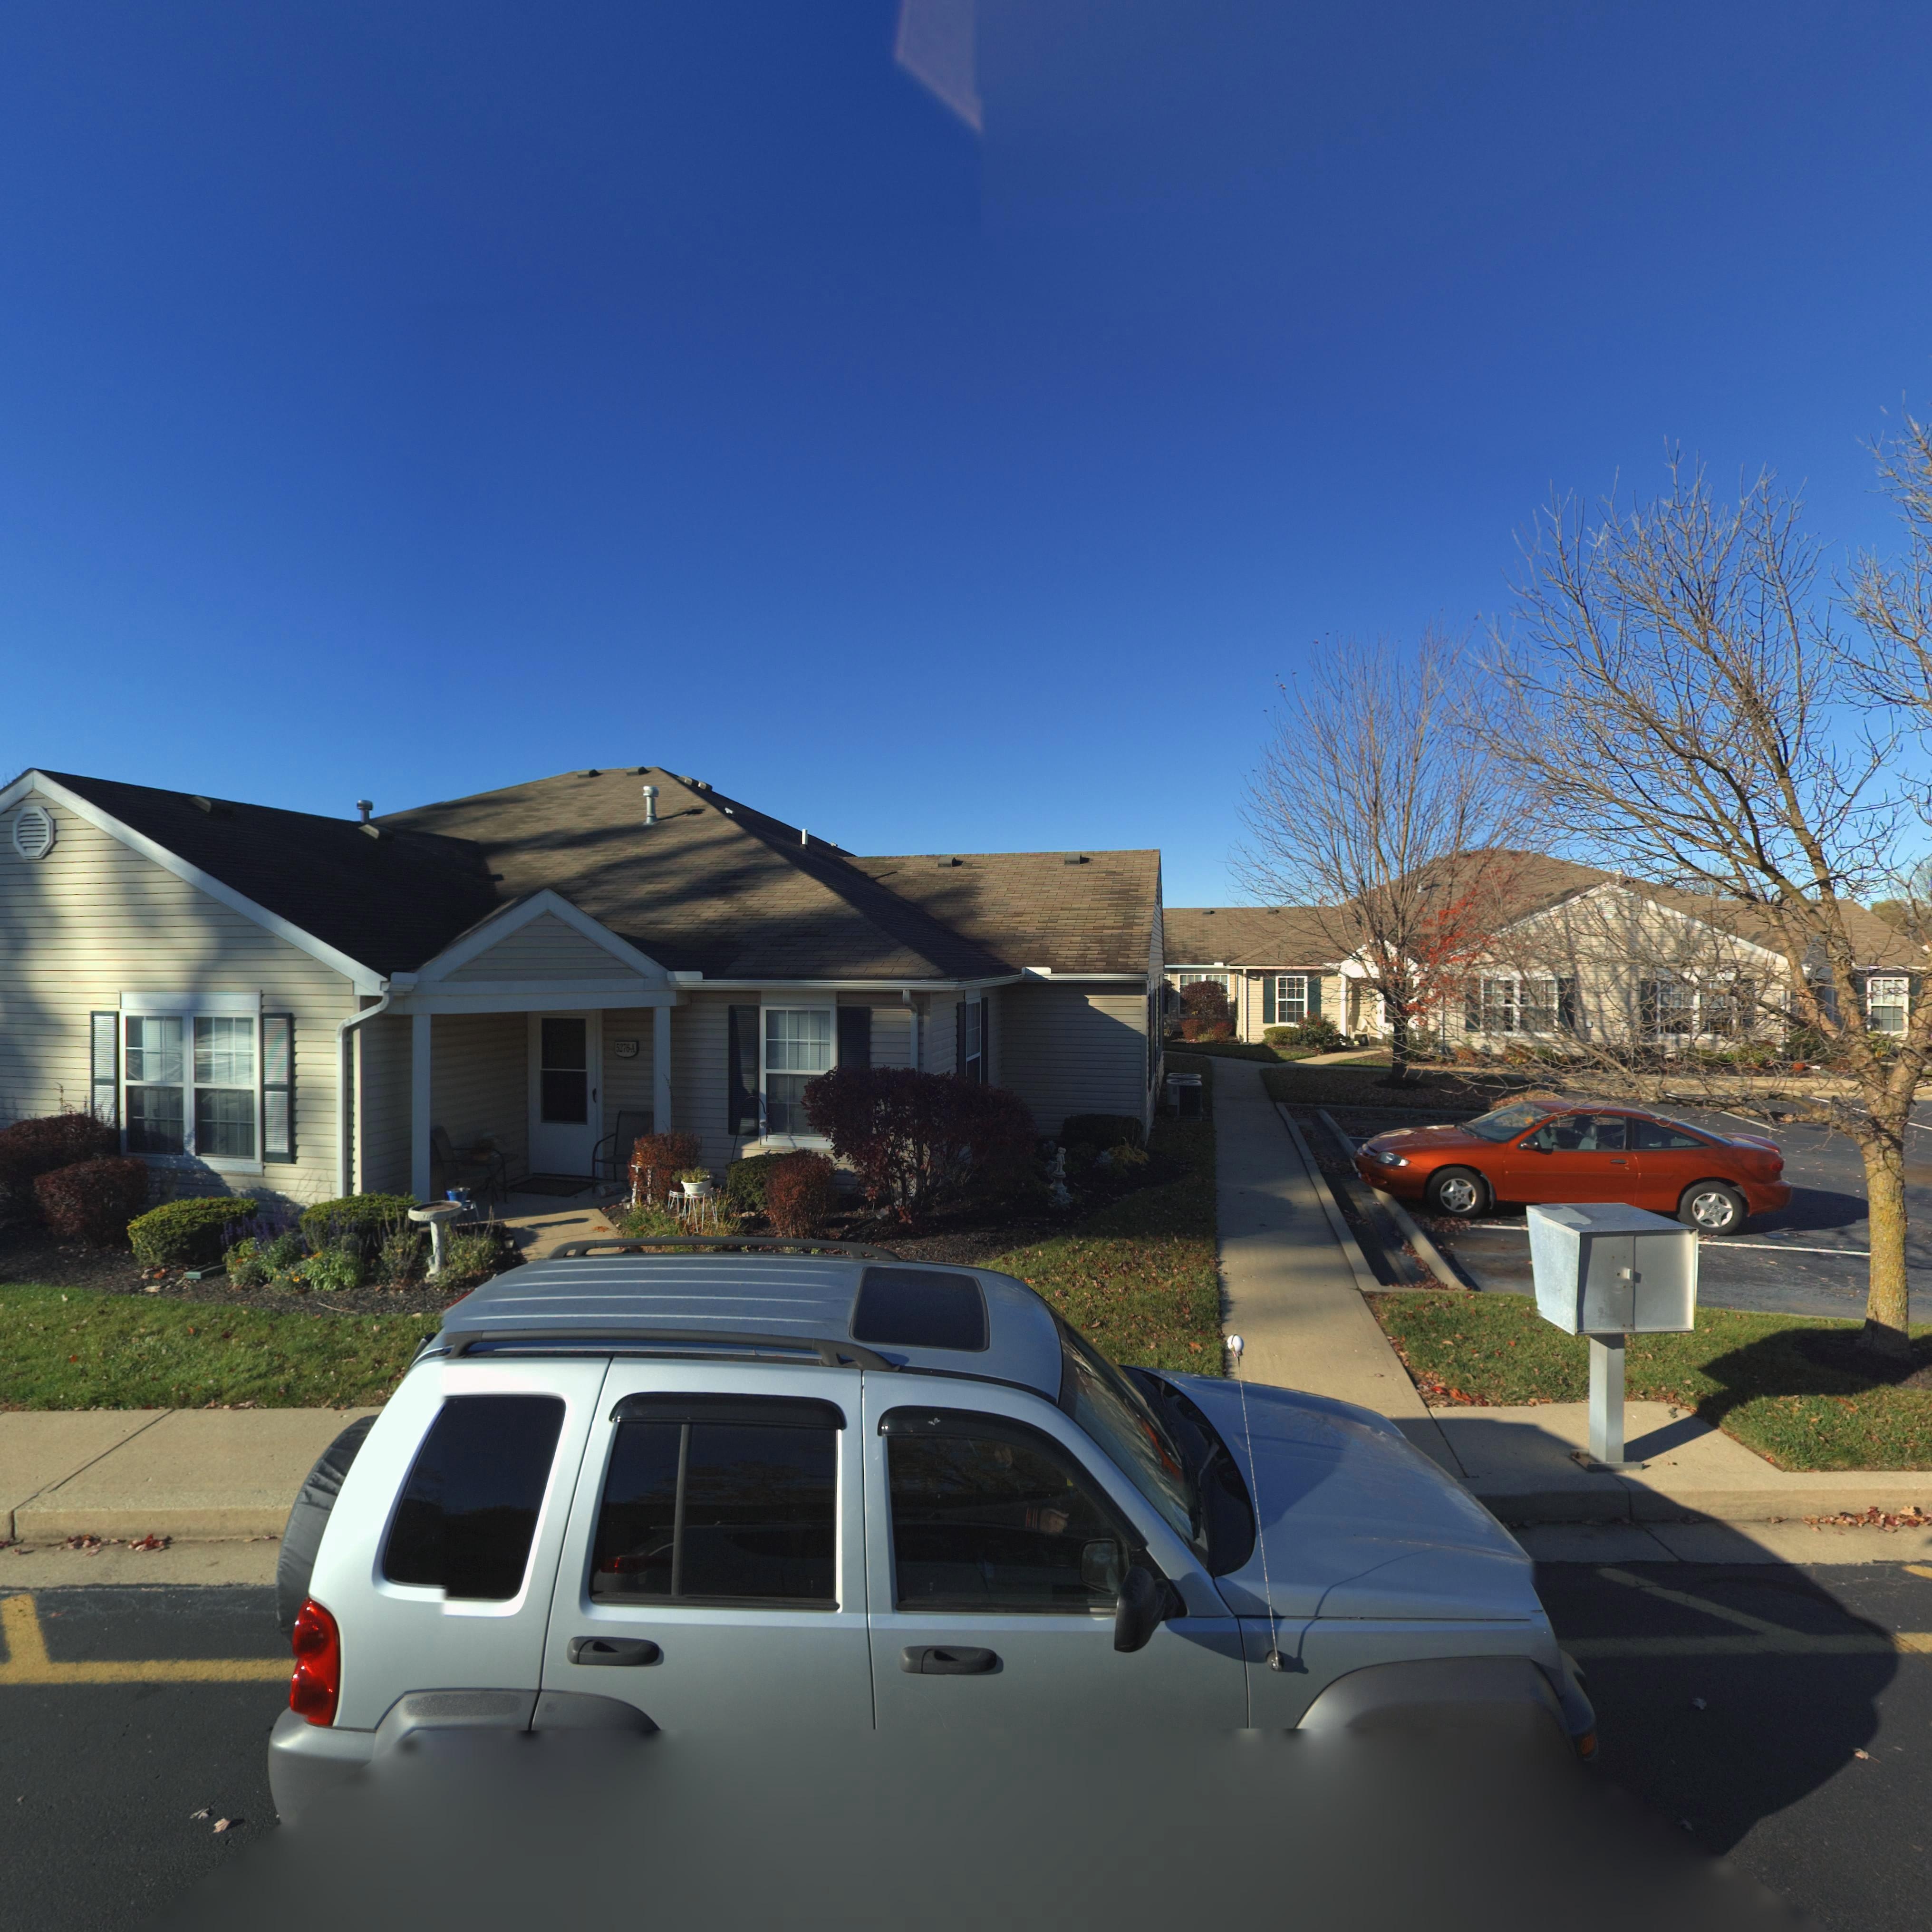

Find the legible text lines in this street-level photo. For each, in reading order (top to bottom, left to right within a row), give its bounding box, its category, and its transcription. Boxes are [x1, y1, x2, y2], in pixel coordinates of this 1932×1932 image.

[615, 1043, 636, 1053] StreetNumber: 5276-A